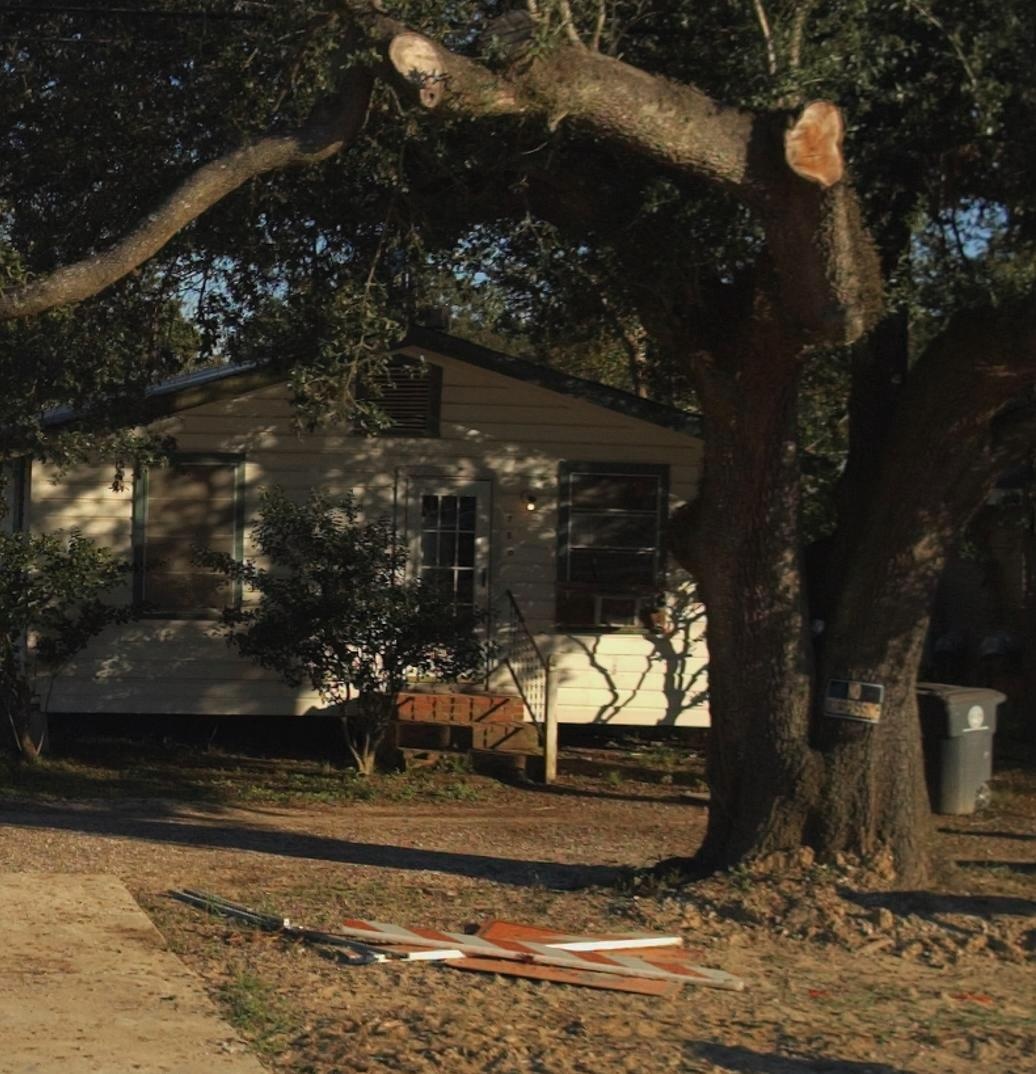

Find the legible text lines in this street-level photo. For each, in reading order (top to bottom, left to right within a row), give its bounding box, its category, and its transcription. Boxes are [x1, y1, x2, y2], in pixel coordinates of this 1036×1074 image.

[505, 515, 514, 557] StreetNumber: 780